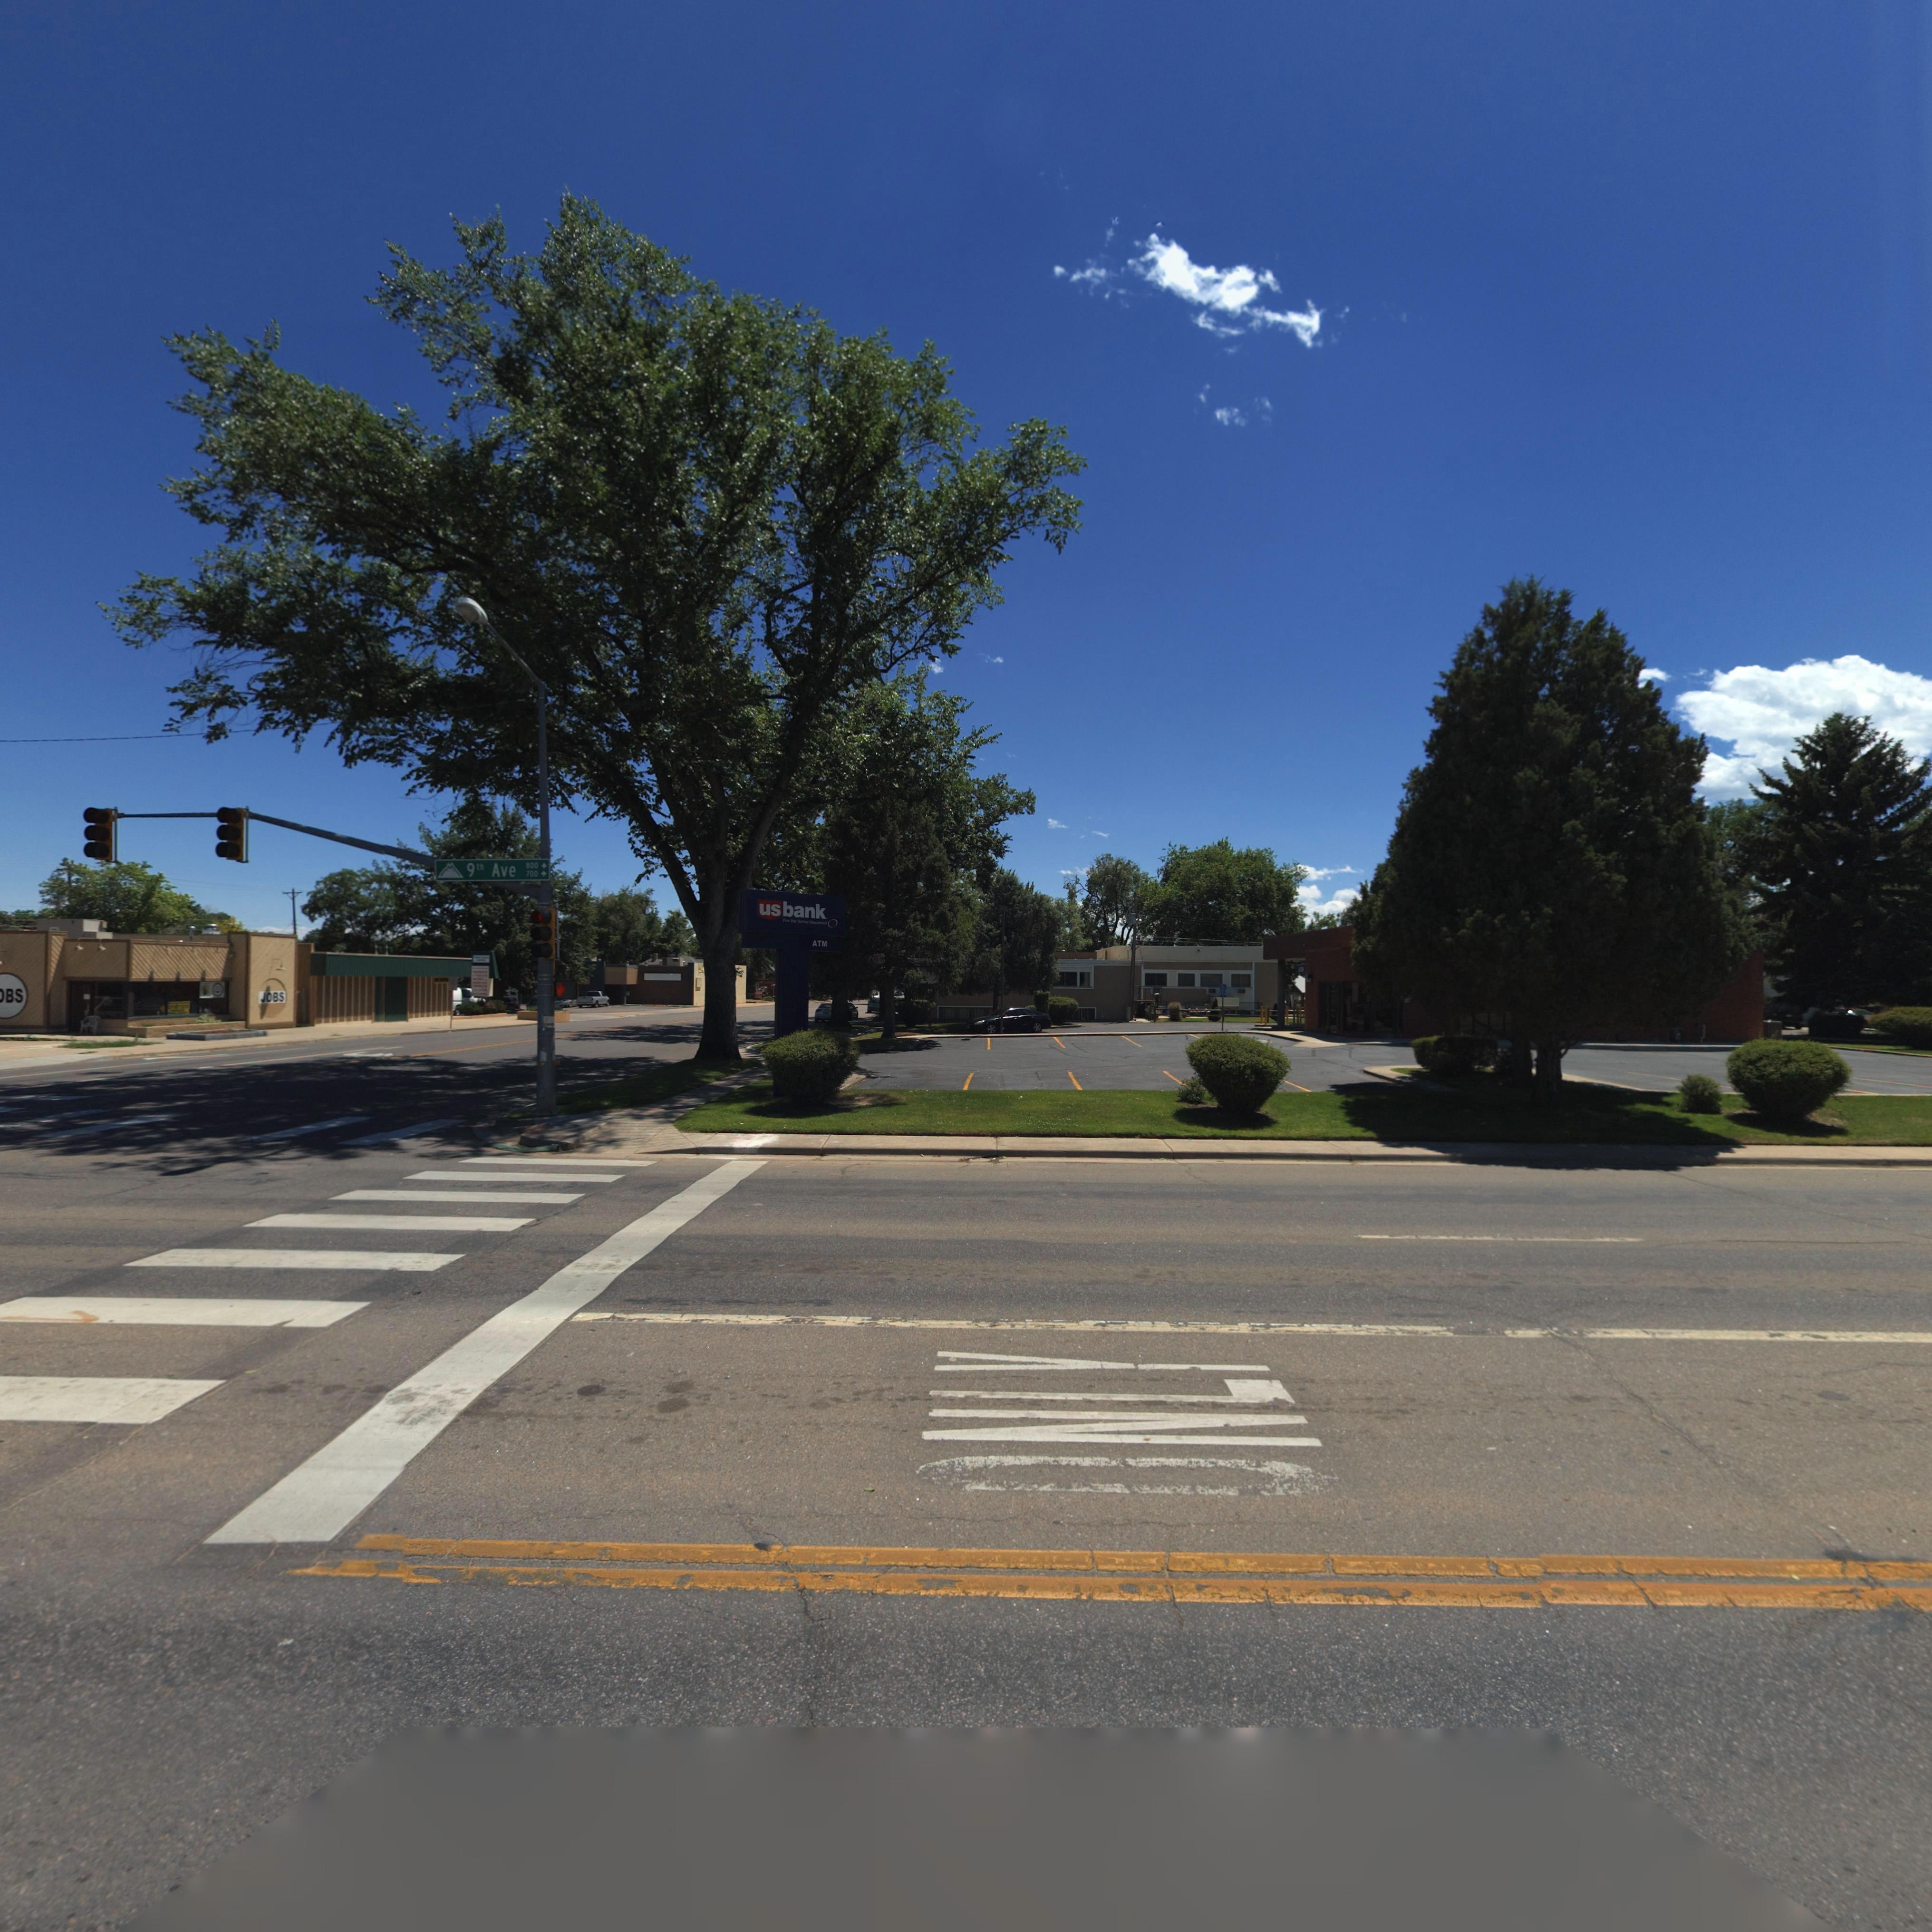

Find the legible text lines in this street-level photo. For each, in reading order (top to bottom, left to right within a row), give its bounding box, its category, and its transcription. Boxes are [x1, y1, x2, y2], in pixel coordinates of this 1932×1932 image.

[466, 861, 517, 878] StreetName: 9th Ave
[525, 862, 539, 869] StreetNumberRange: 800
[525, 870, 547, 877] StreetNumberRange: 700 ->
[759, 900, 827, 919] BusinessName: usbank